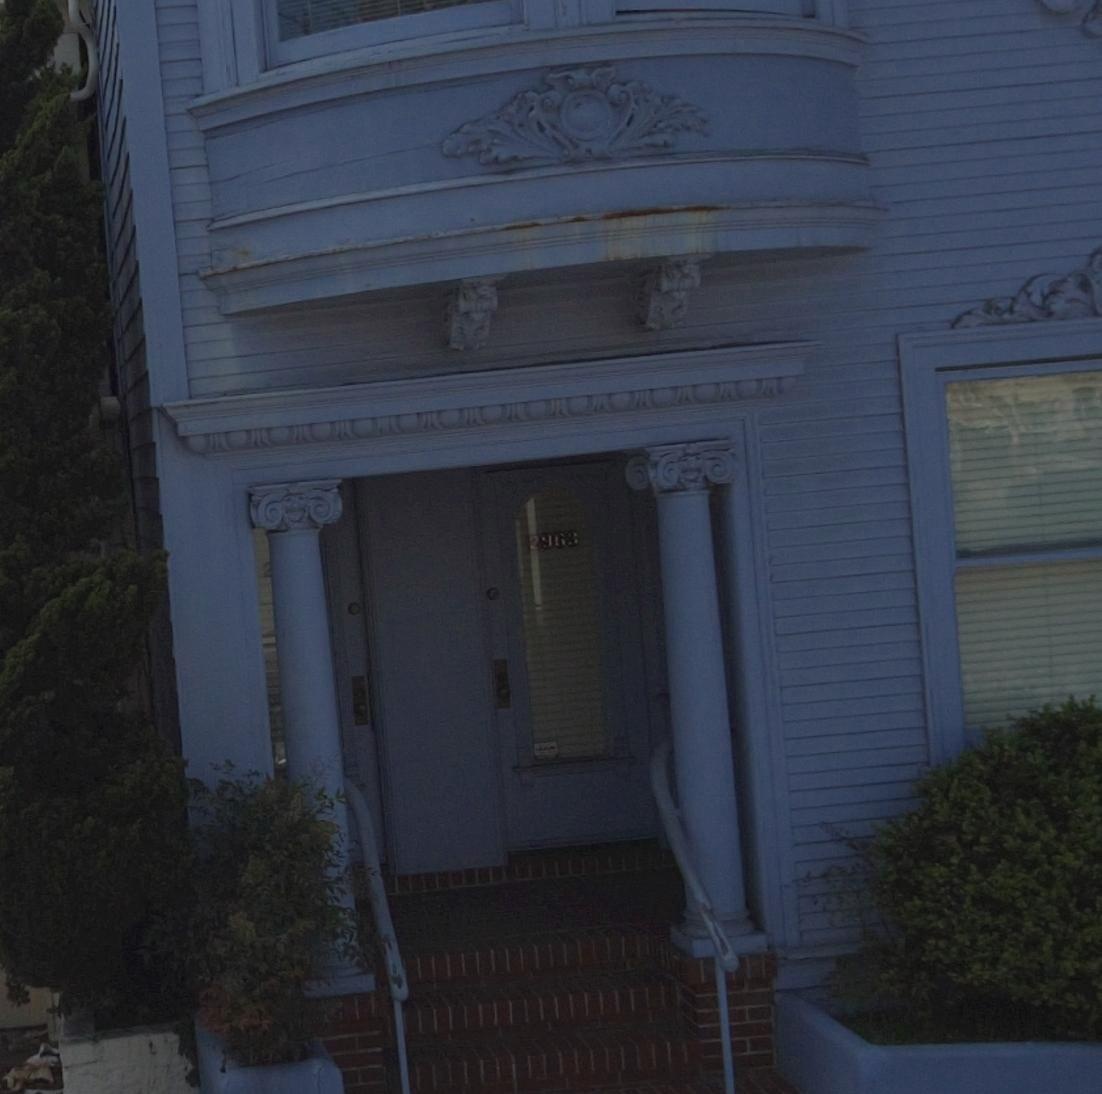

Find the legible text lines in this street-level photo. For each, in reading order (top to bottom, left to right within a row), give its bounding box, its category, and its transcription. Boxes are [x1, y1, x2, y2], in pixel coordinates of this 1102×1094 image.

[526, 529, 581, 552] StreetNumber: 2963